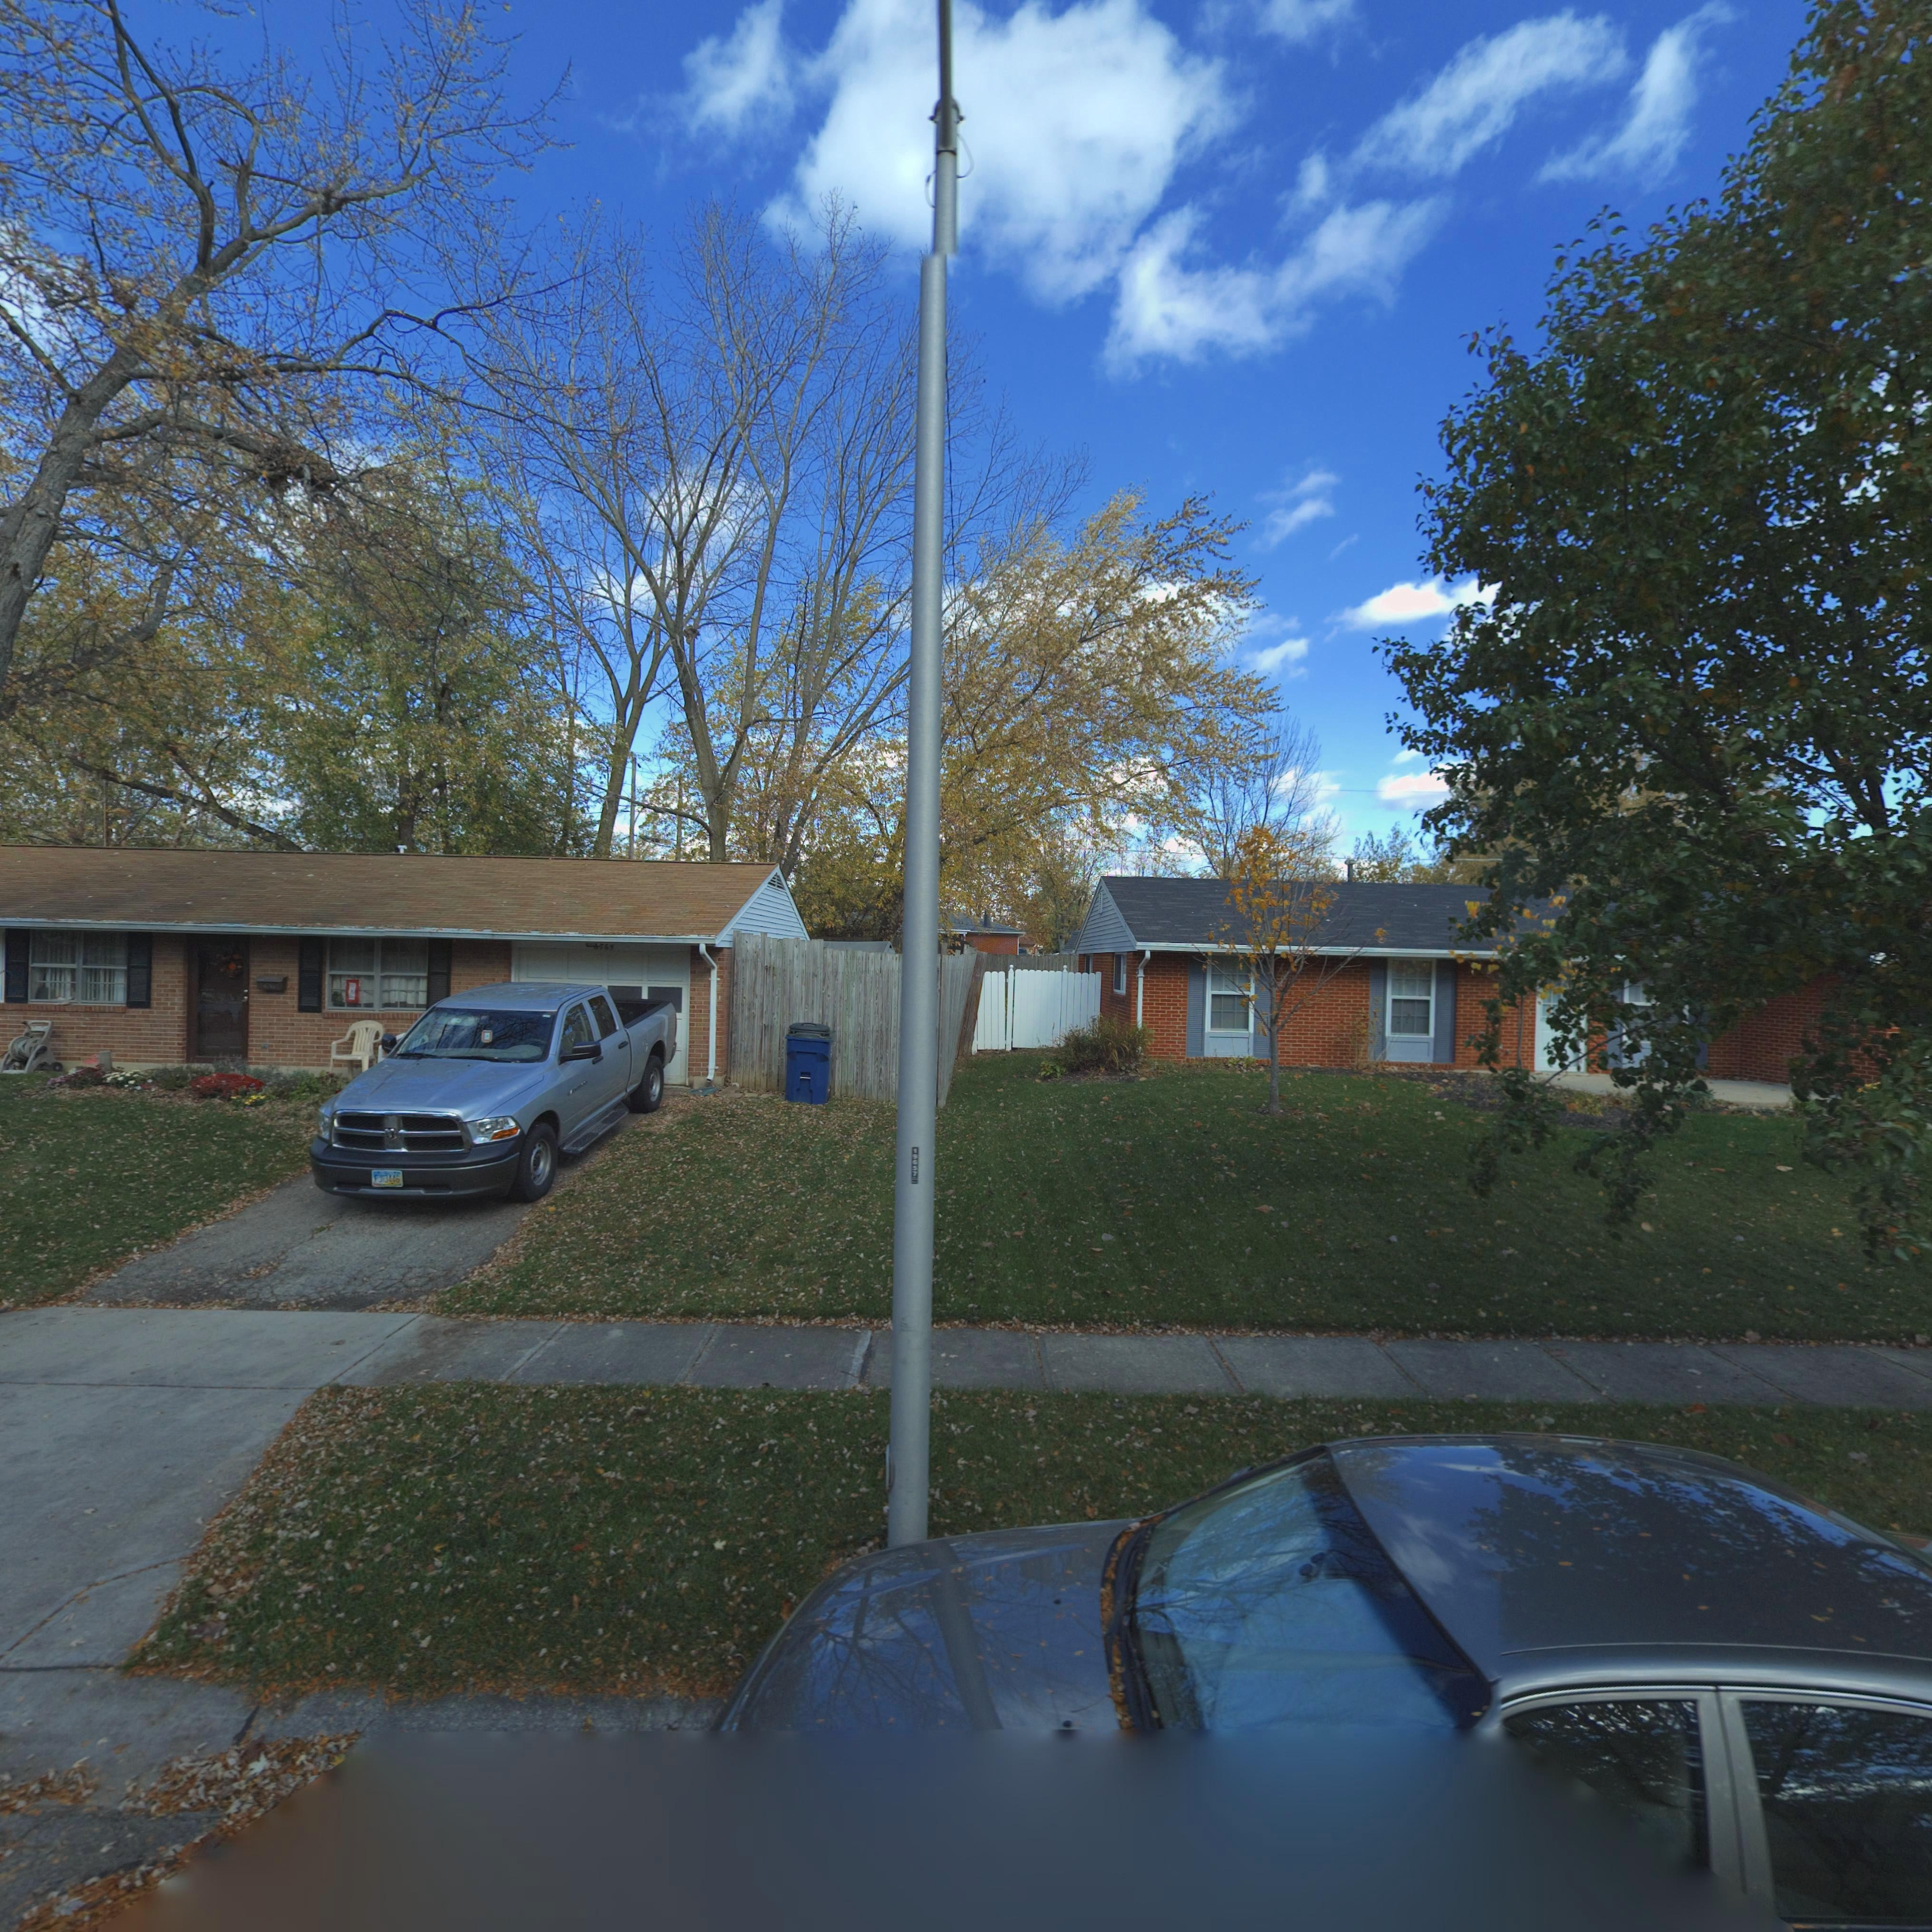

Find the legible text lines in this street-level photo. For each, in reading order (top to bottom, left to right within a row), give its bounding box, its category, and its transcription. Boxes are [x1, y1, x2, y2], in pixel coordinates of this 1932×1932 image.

[599, 943, 615, 951] StreetNumber: 765